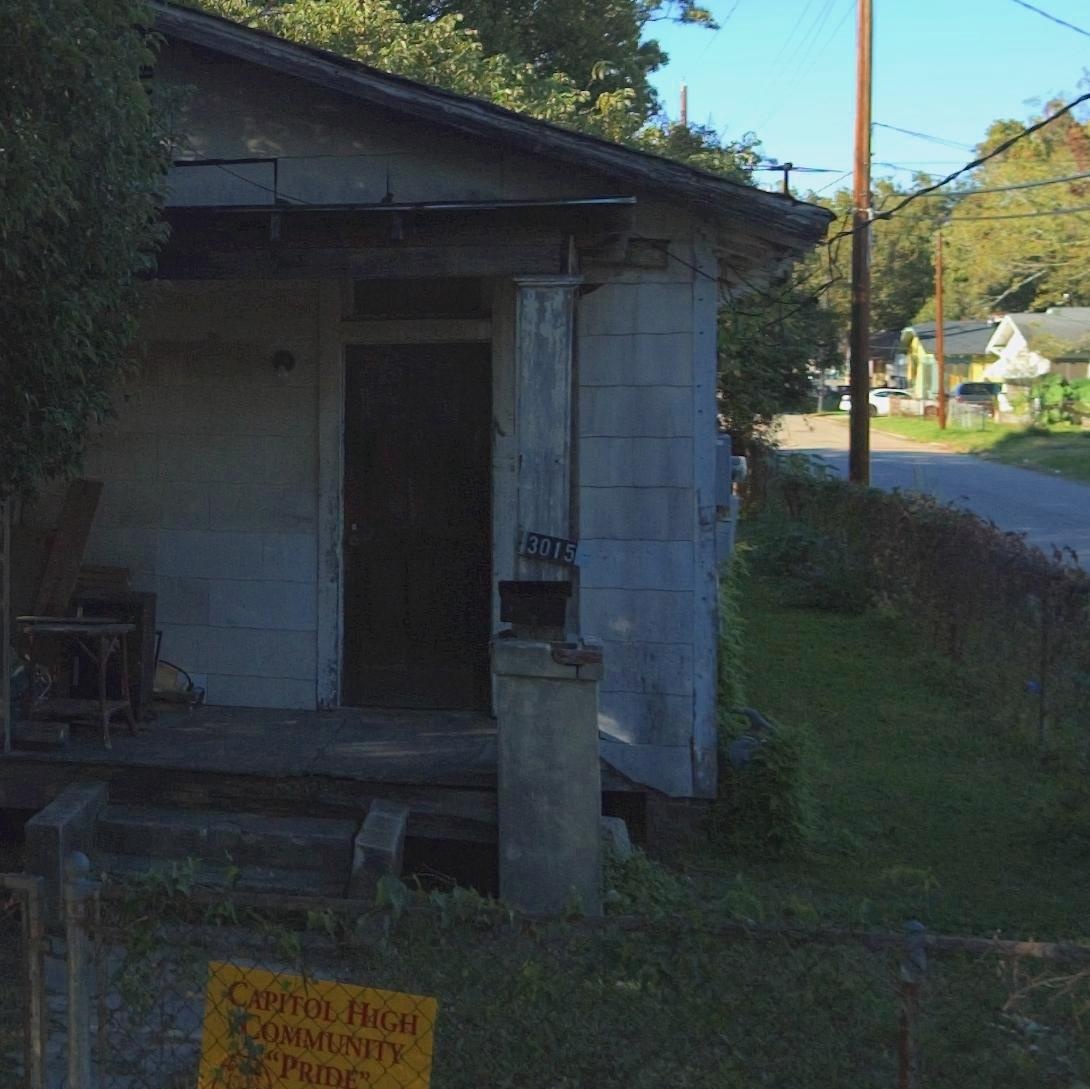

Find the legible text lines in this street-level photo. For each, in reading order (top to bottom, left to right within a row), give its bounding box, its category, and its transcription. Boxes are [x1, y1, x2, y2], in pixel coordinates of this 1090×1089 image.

[524, 533, 580, 566] StreetNumber: 3015
[222, 976, 421, 1040] None: CAPITOL HIGH
[259, 1016, 409, 1068] None: OMMUNITY
[276, 1050, 345, 1088] None: PRID